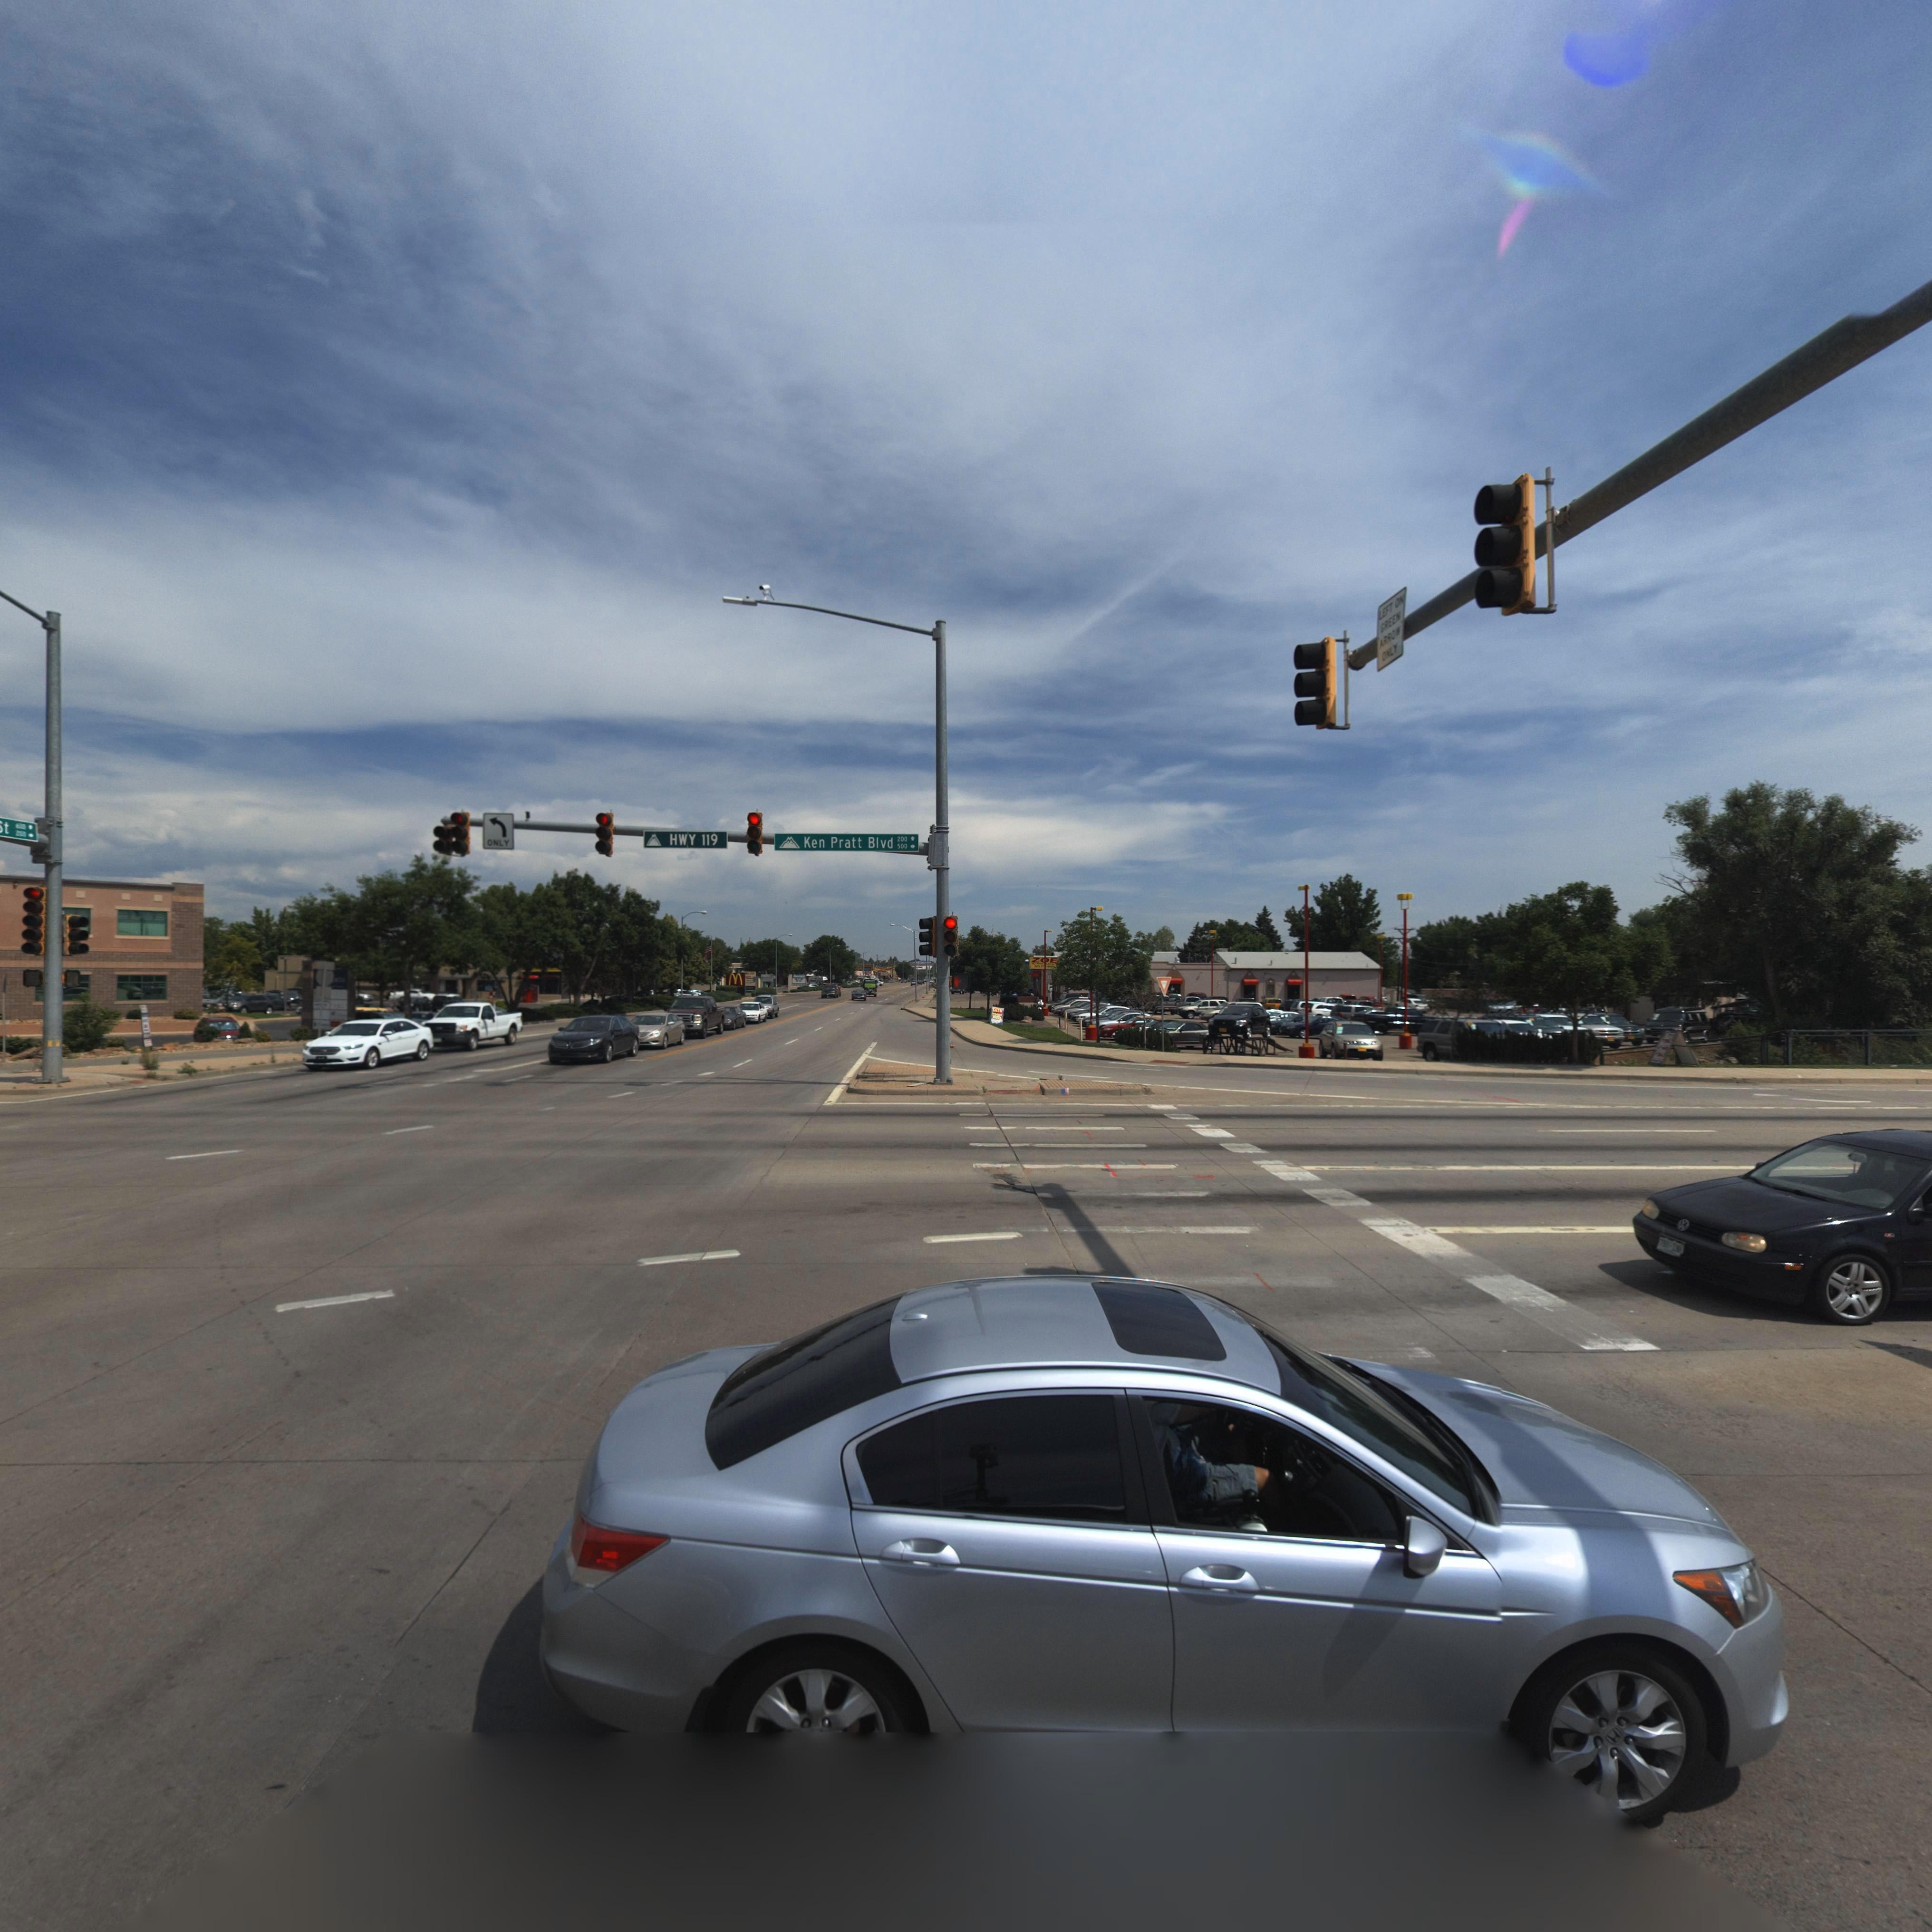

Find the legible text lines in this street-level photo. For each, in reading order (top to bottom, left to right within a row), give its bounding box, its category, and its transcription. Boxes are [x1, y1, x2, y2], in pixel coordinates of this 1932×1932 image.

[3, 821, 9, 834] StreetName: t
[15, 822, 26, 830] StreetNumberRange: 6*0
[15, 830, 35, 838] StreetNumberRange: 200->
[669, 832, 718, 846] StreetName: HWY 119
[803, 836, 893, 849] StreetName: Ken Pratt Blvd
[897, 836, 908, 842] StreetNumberRange: 200
[897, 843, 916, 849] StreetNumberRange: 500->
[1031, 957, 1058, 963] BusinessName: Z*E